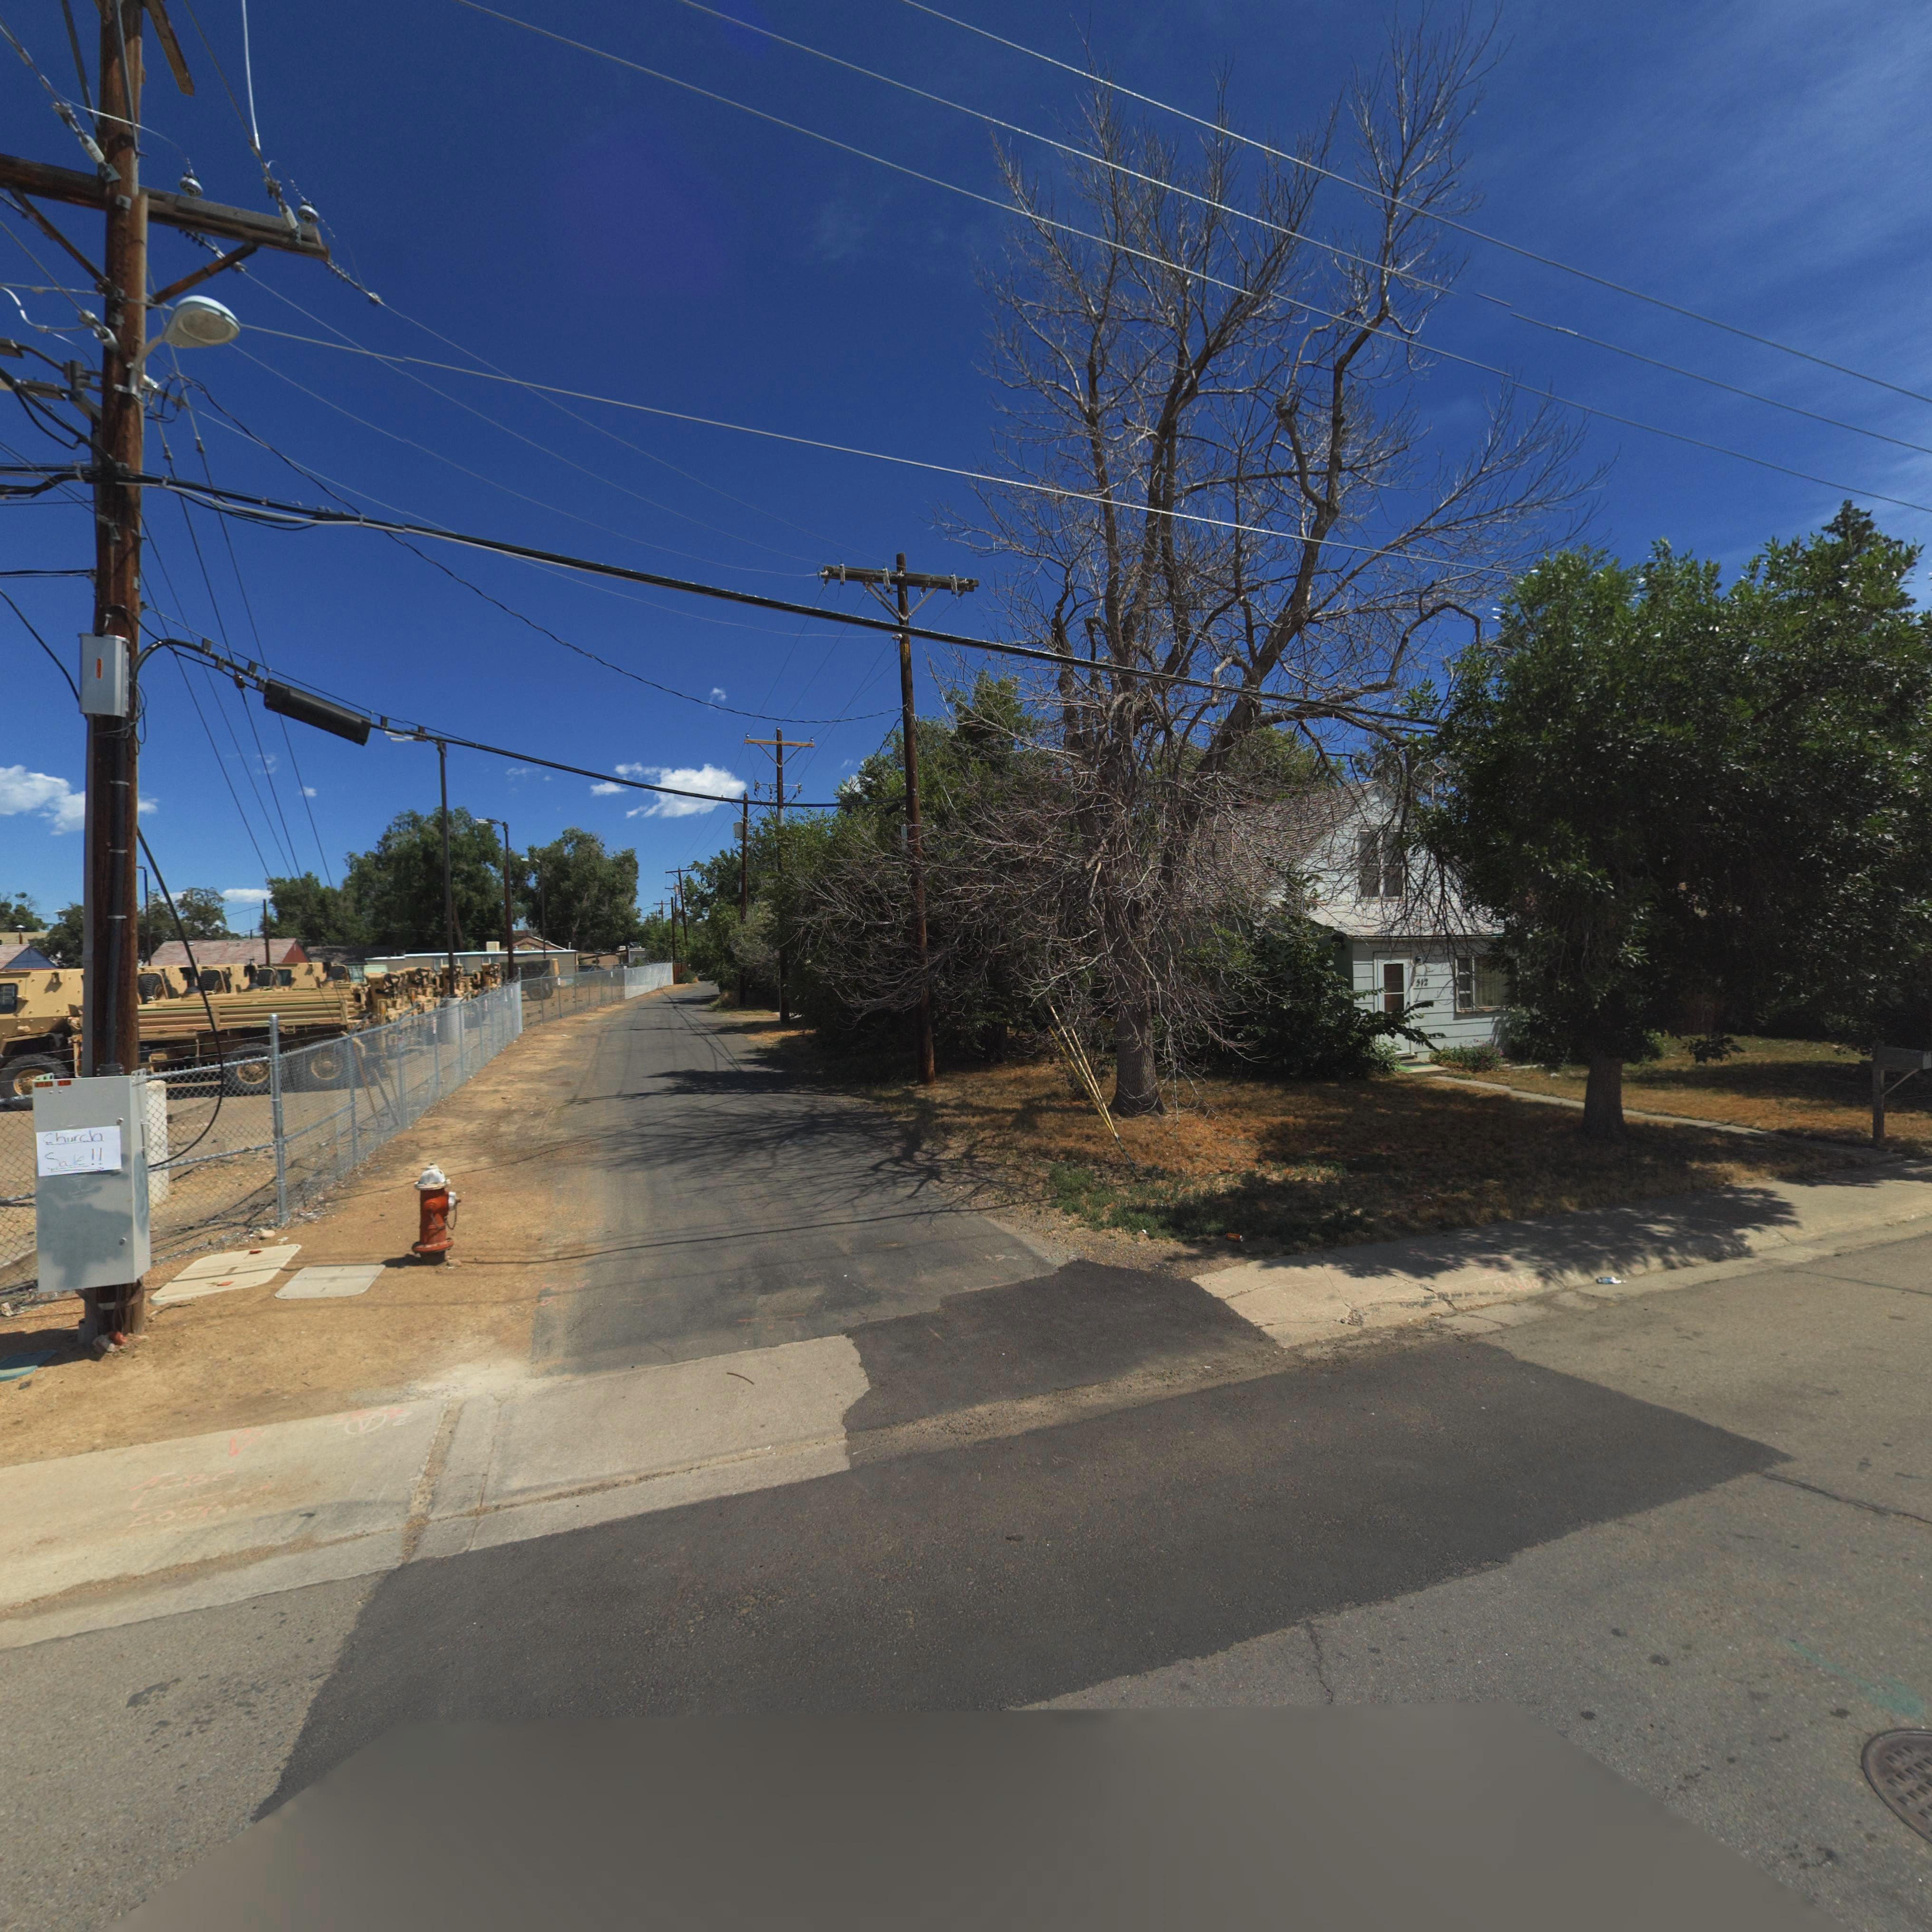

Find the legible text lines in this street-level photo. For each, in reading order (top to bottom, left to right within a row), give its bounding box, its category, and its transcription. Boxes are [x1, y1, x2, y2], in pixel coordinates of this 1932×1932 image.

[1415, 977, 1429, 987] StreetNumber: 512